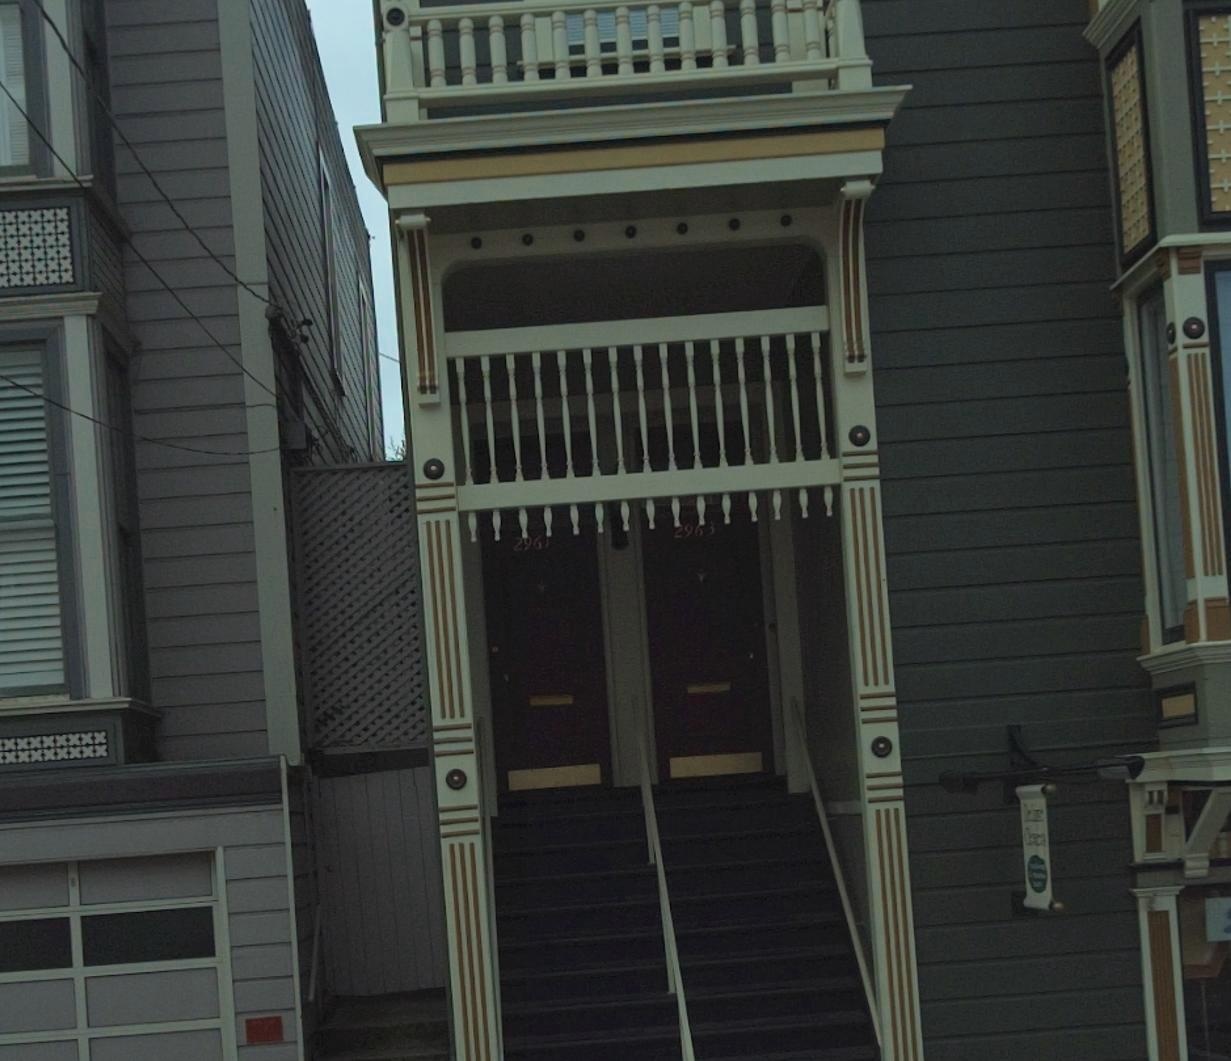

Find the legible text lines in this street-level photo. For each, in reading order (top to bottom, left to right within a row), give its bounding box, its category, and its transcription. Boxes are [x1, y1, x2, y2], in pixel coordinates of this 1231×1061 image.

[672, 518, 719, 542] StreetNumber: 296*
[509, 532, 553, 555] StreetNumber: 296*